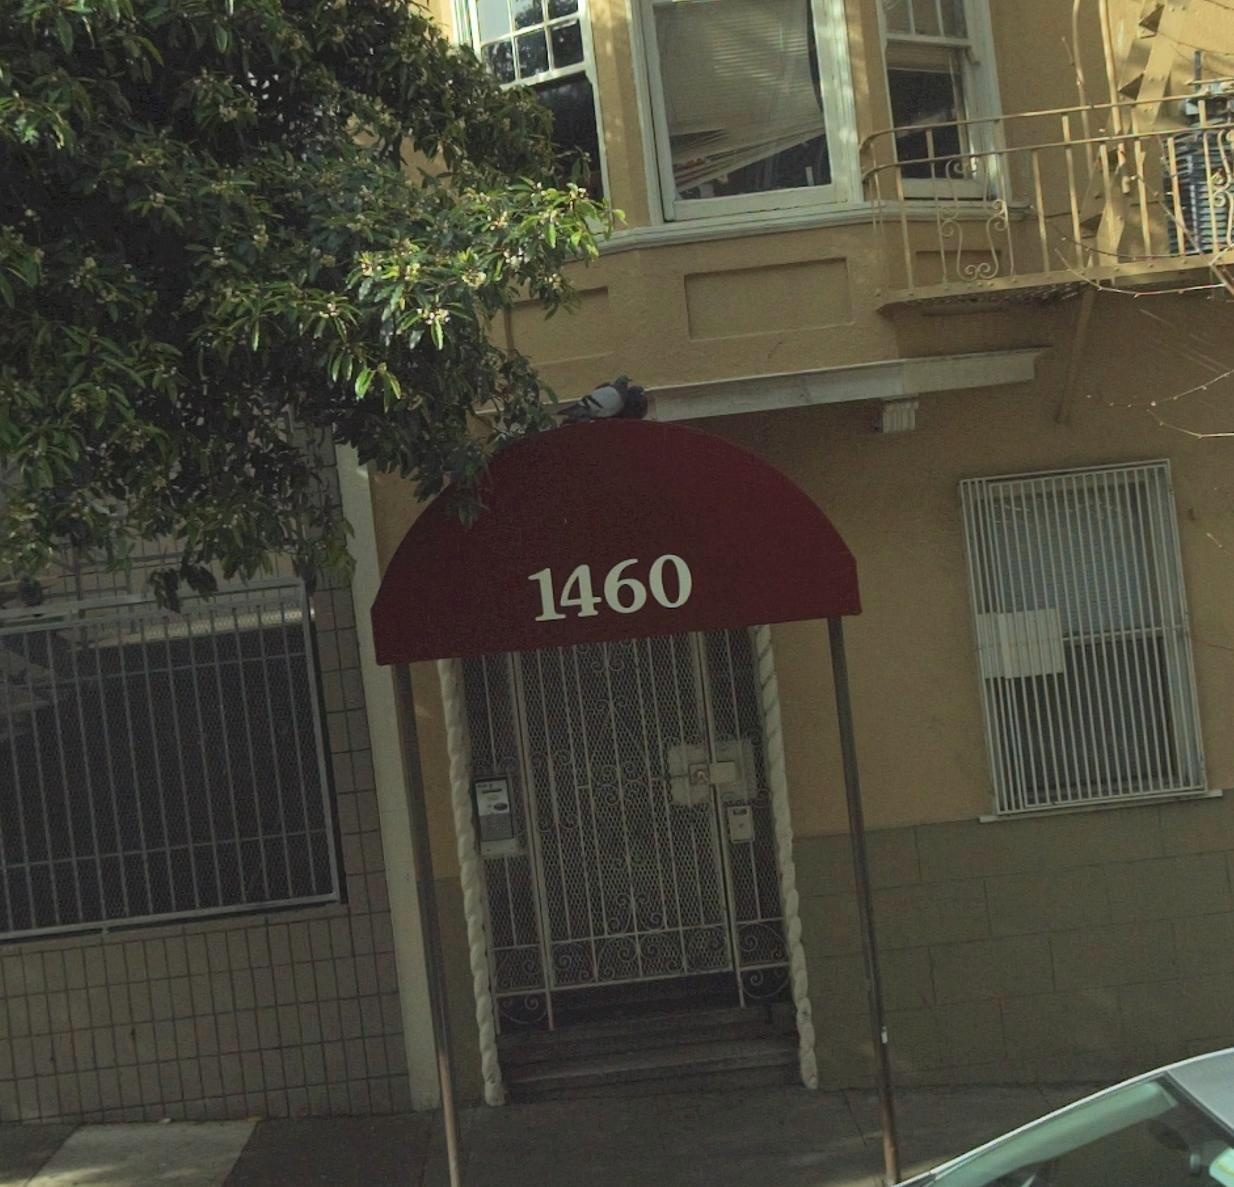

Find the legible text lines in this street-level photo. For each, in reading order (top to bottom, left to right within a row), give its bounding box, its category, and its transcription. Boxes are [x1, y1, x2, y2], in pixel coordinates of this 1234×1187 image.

[521, 548, 700, 628] StreetNumber: 1460